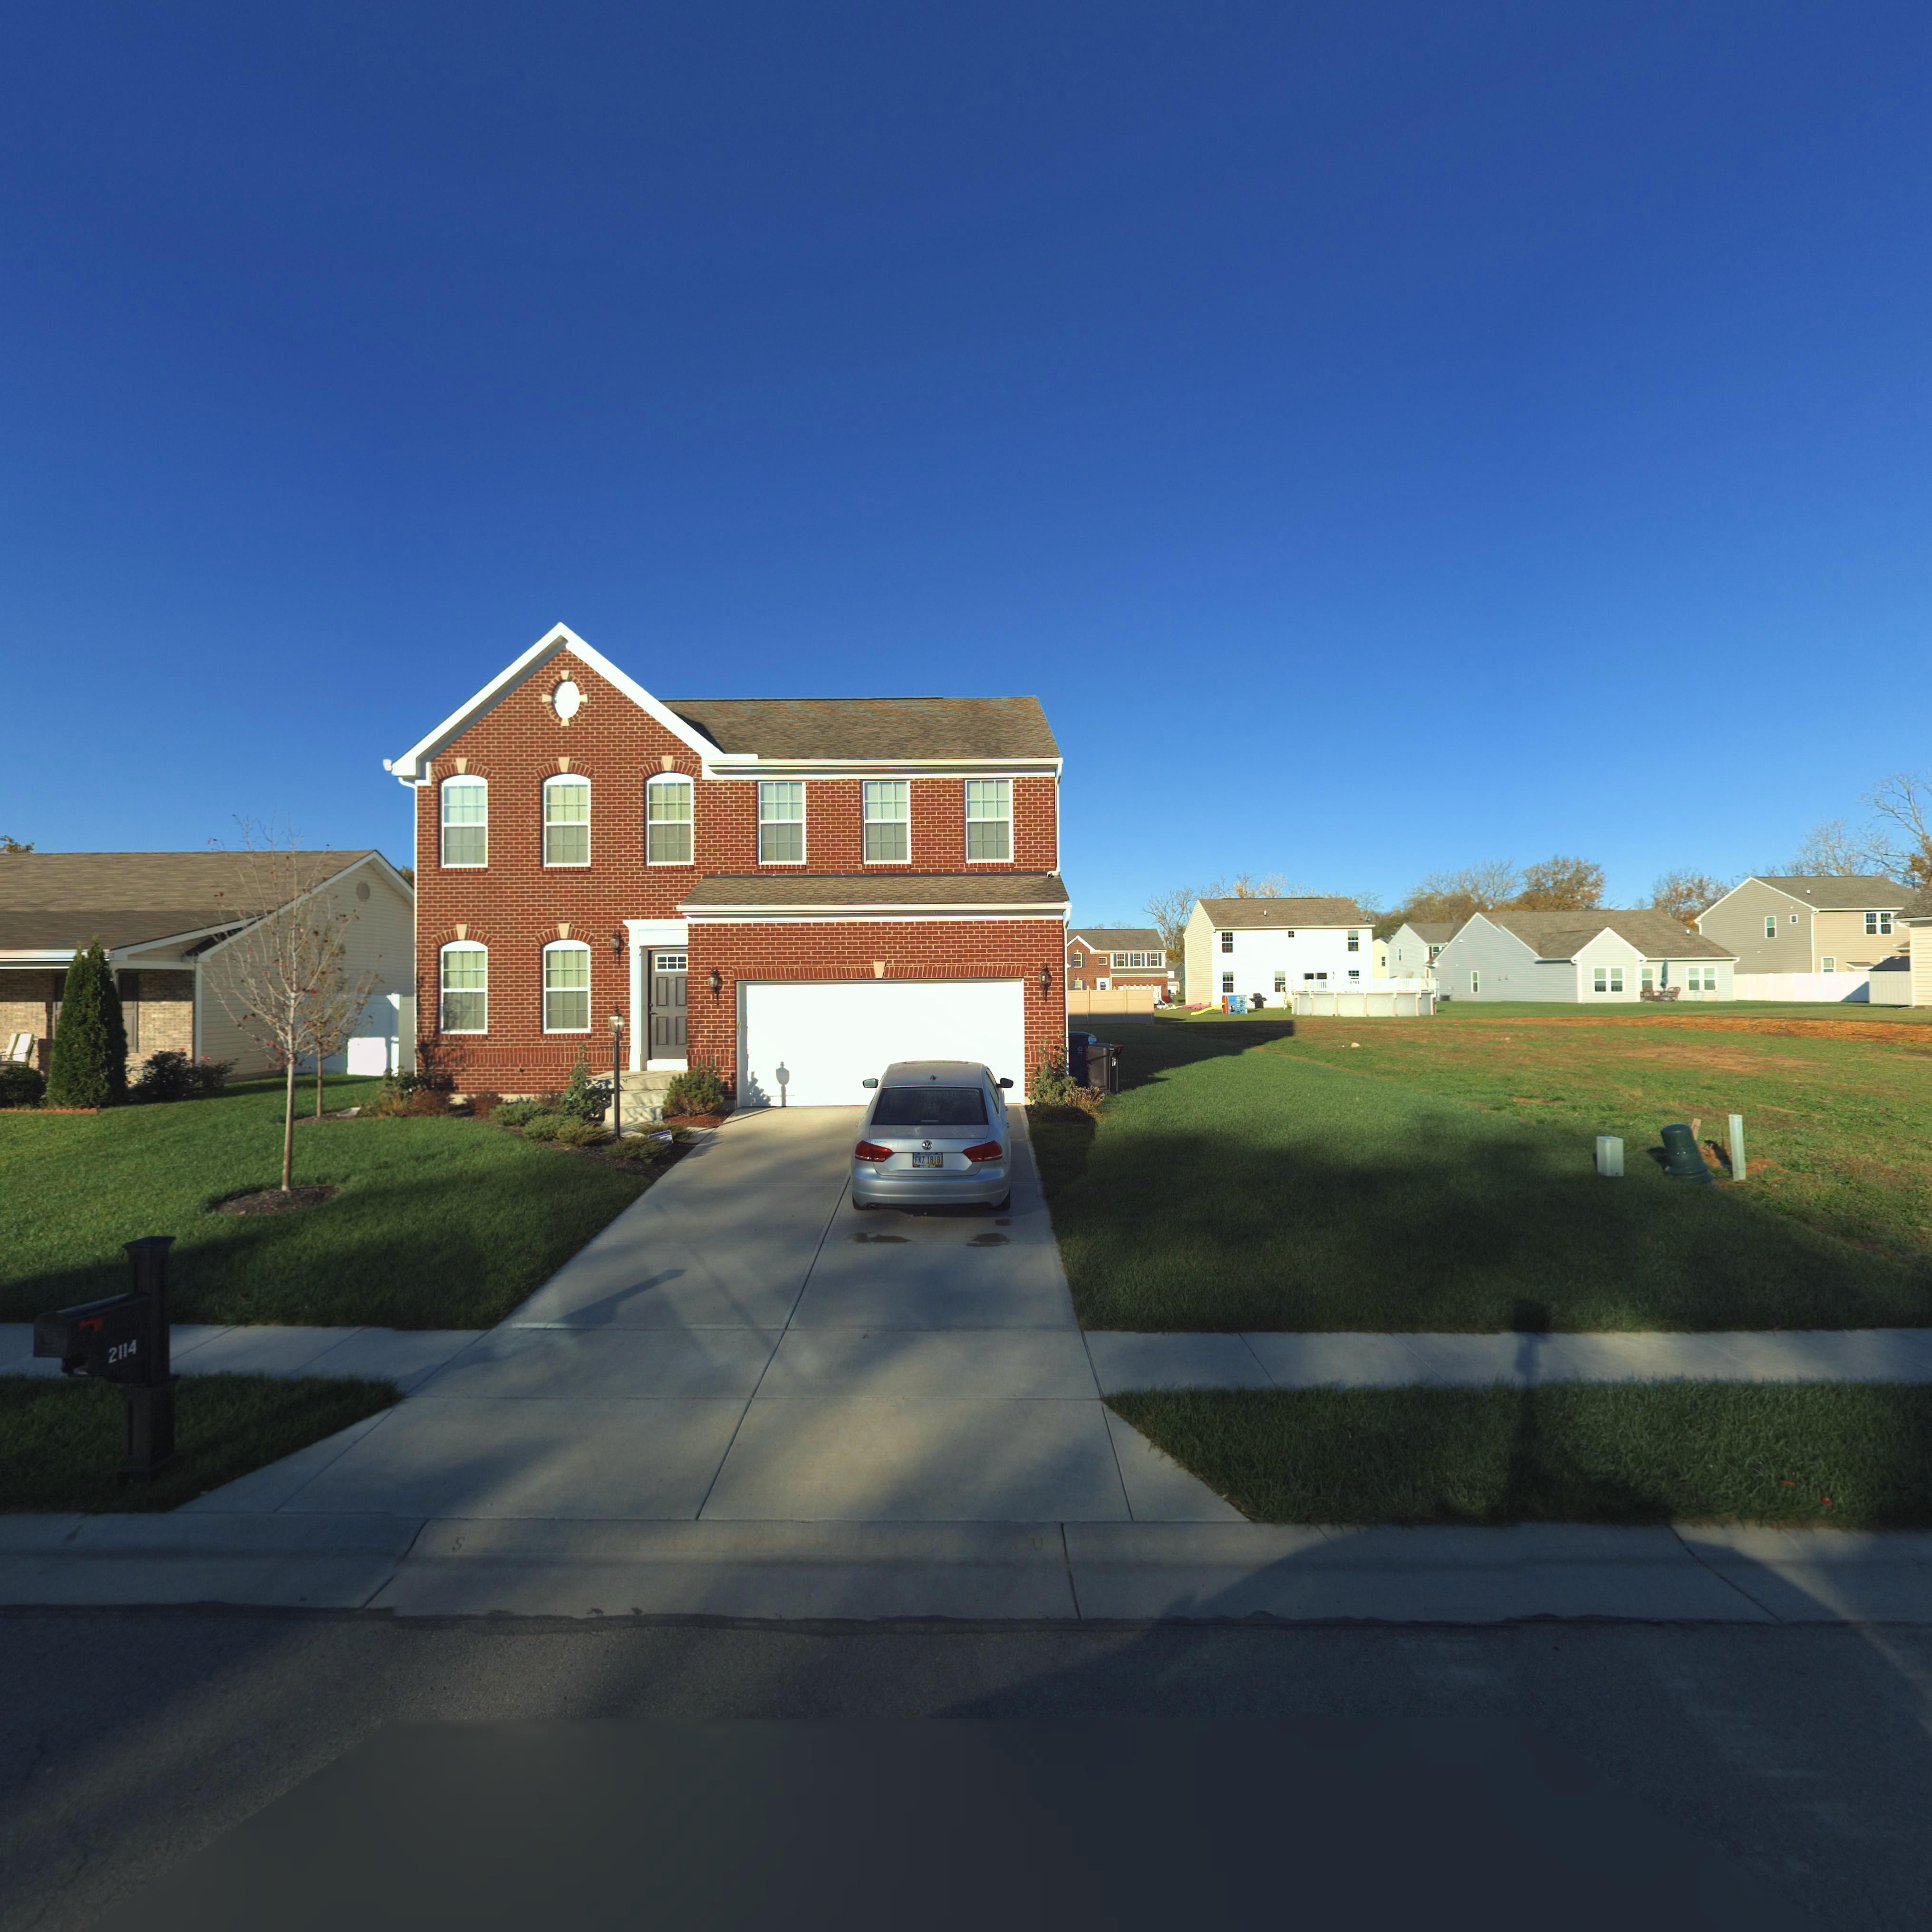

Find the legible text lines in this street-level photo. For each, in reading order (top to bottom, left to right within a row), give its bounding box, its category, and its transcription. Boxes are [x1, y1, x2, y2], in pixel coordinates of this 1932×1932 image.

[106, 1335, 140, 1366] StreetNumber: 2114